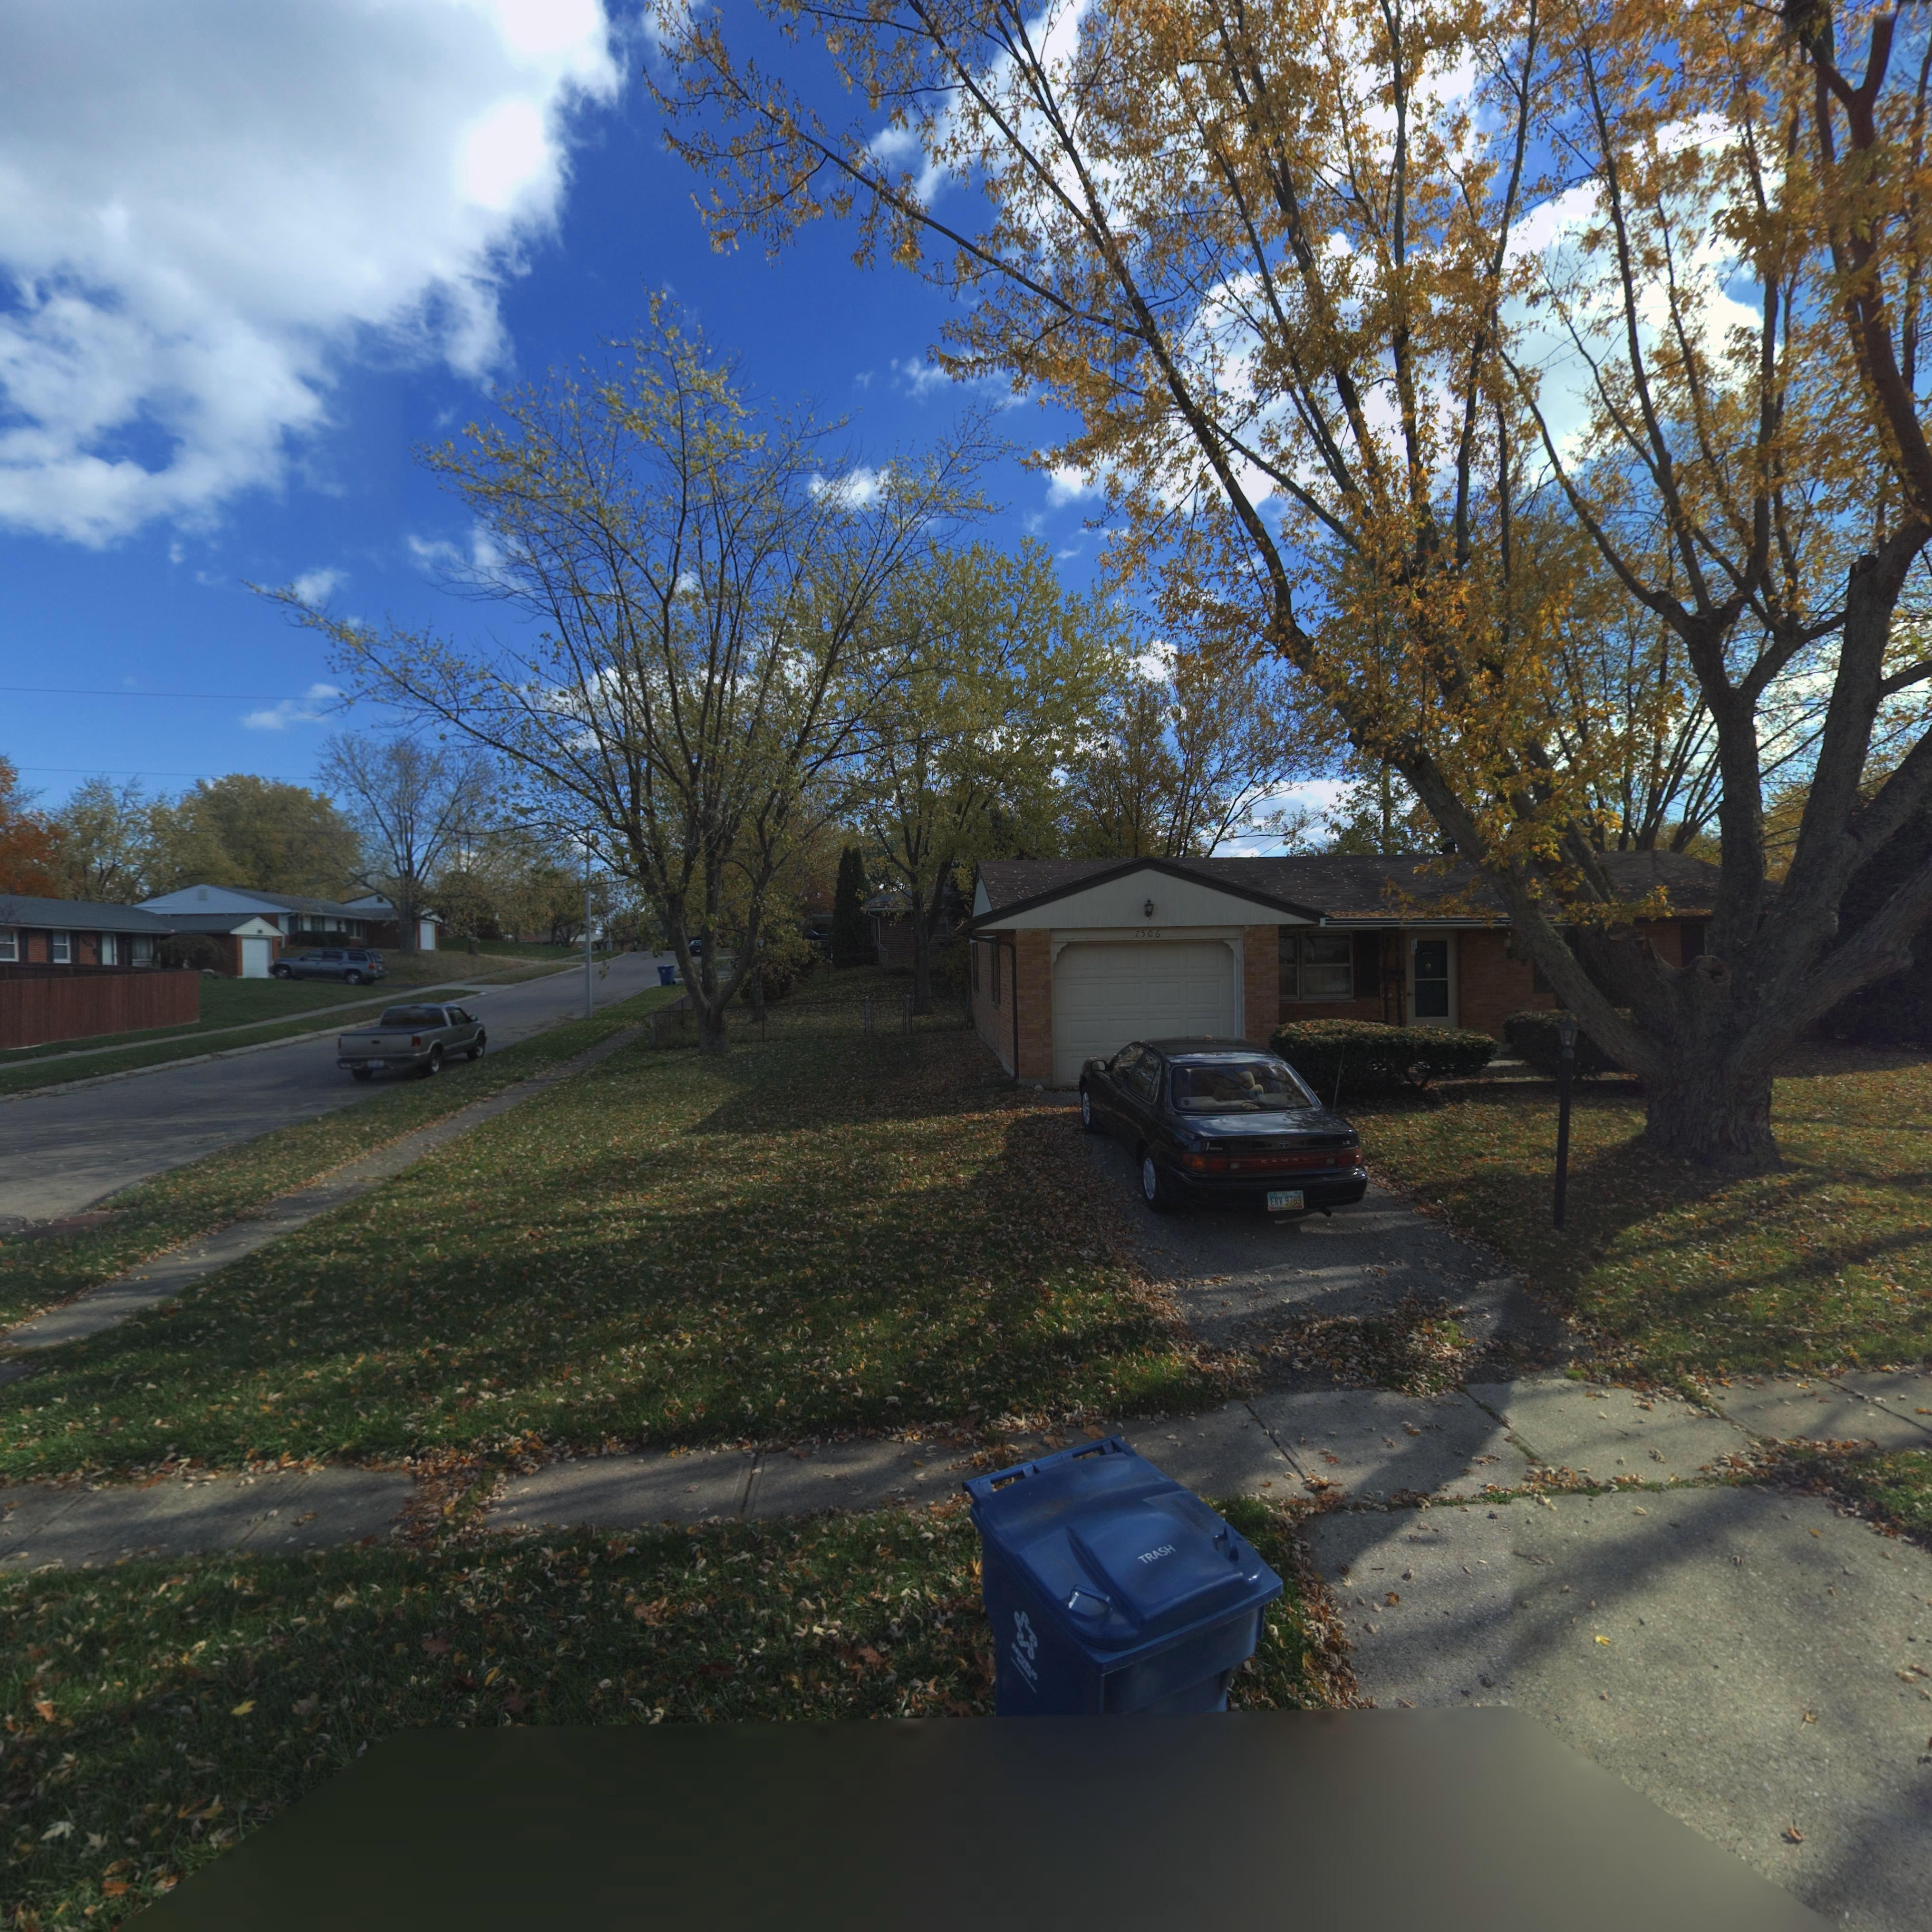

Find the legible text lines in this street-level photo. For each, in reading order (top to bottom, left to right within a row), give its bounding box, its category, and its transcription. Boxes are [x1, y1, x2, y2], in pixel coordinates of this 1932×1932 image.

[1135, 929, 1160, 938] StreetNumber: 7506